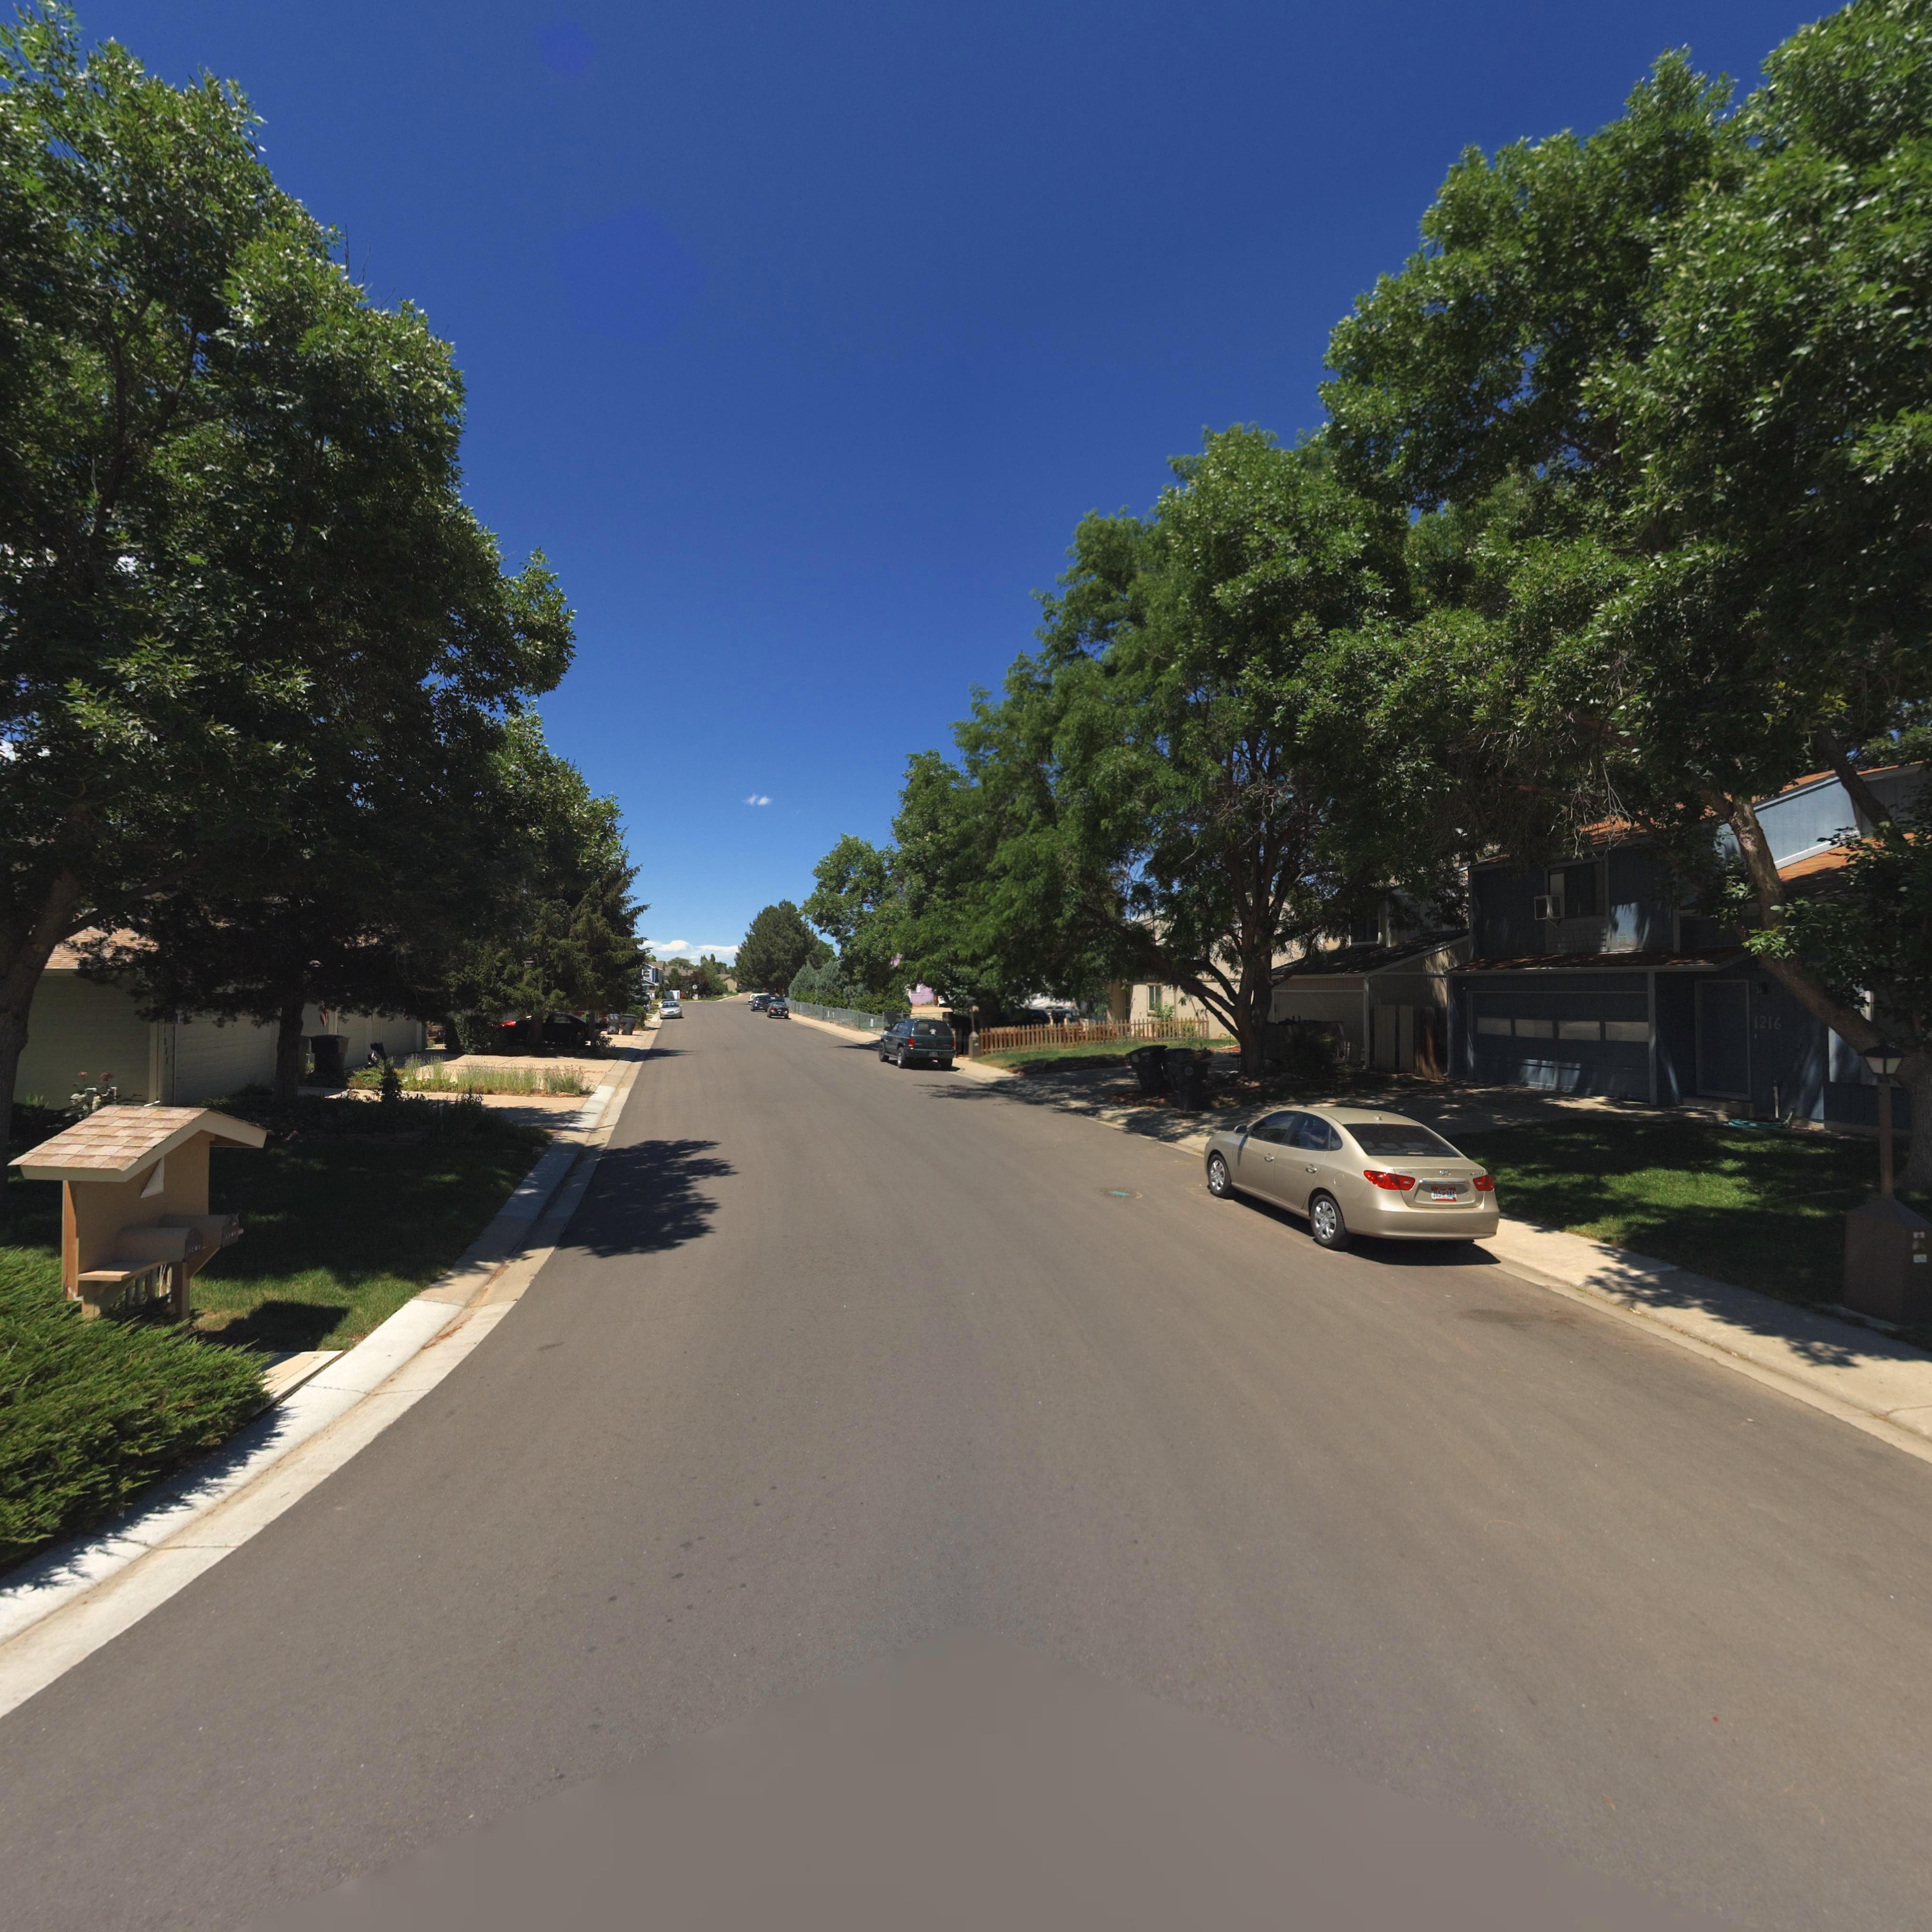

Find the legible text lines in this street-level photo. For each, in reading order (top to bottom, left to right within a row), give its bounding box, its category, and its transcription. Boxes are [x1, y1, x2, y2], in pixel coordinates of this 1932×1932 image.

[1753, 1014, 1782, 1030] StreetNumber: 1216
[163, 1027, 169, 1065] StreetNumber: 1211
[225, 1230, 236, 1239] StreetNumber: 1***
[188, 1244, 201, 1254] StreetNumber: 120*